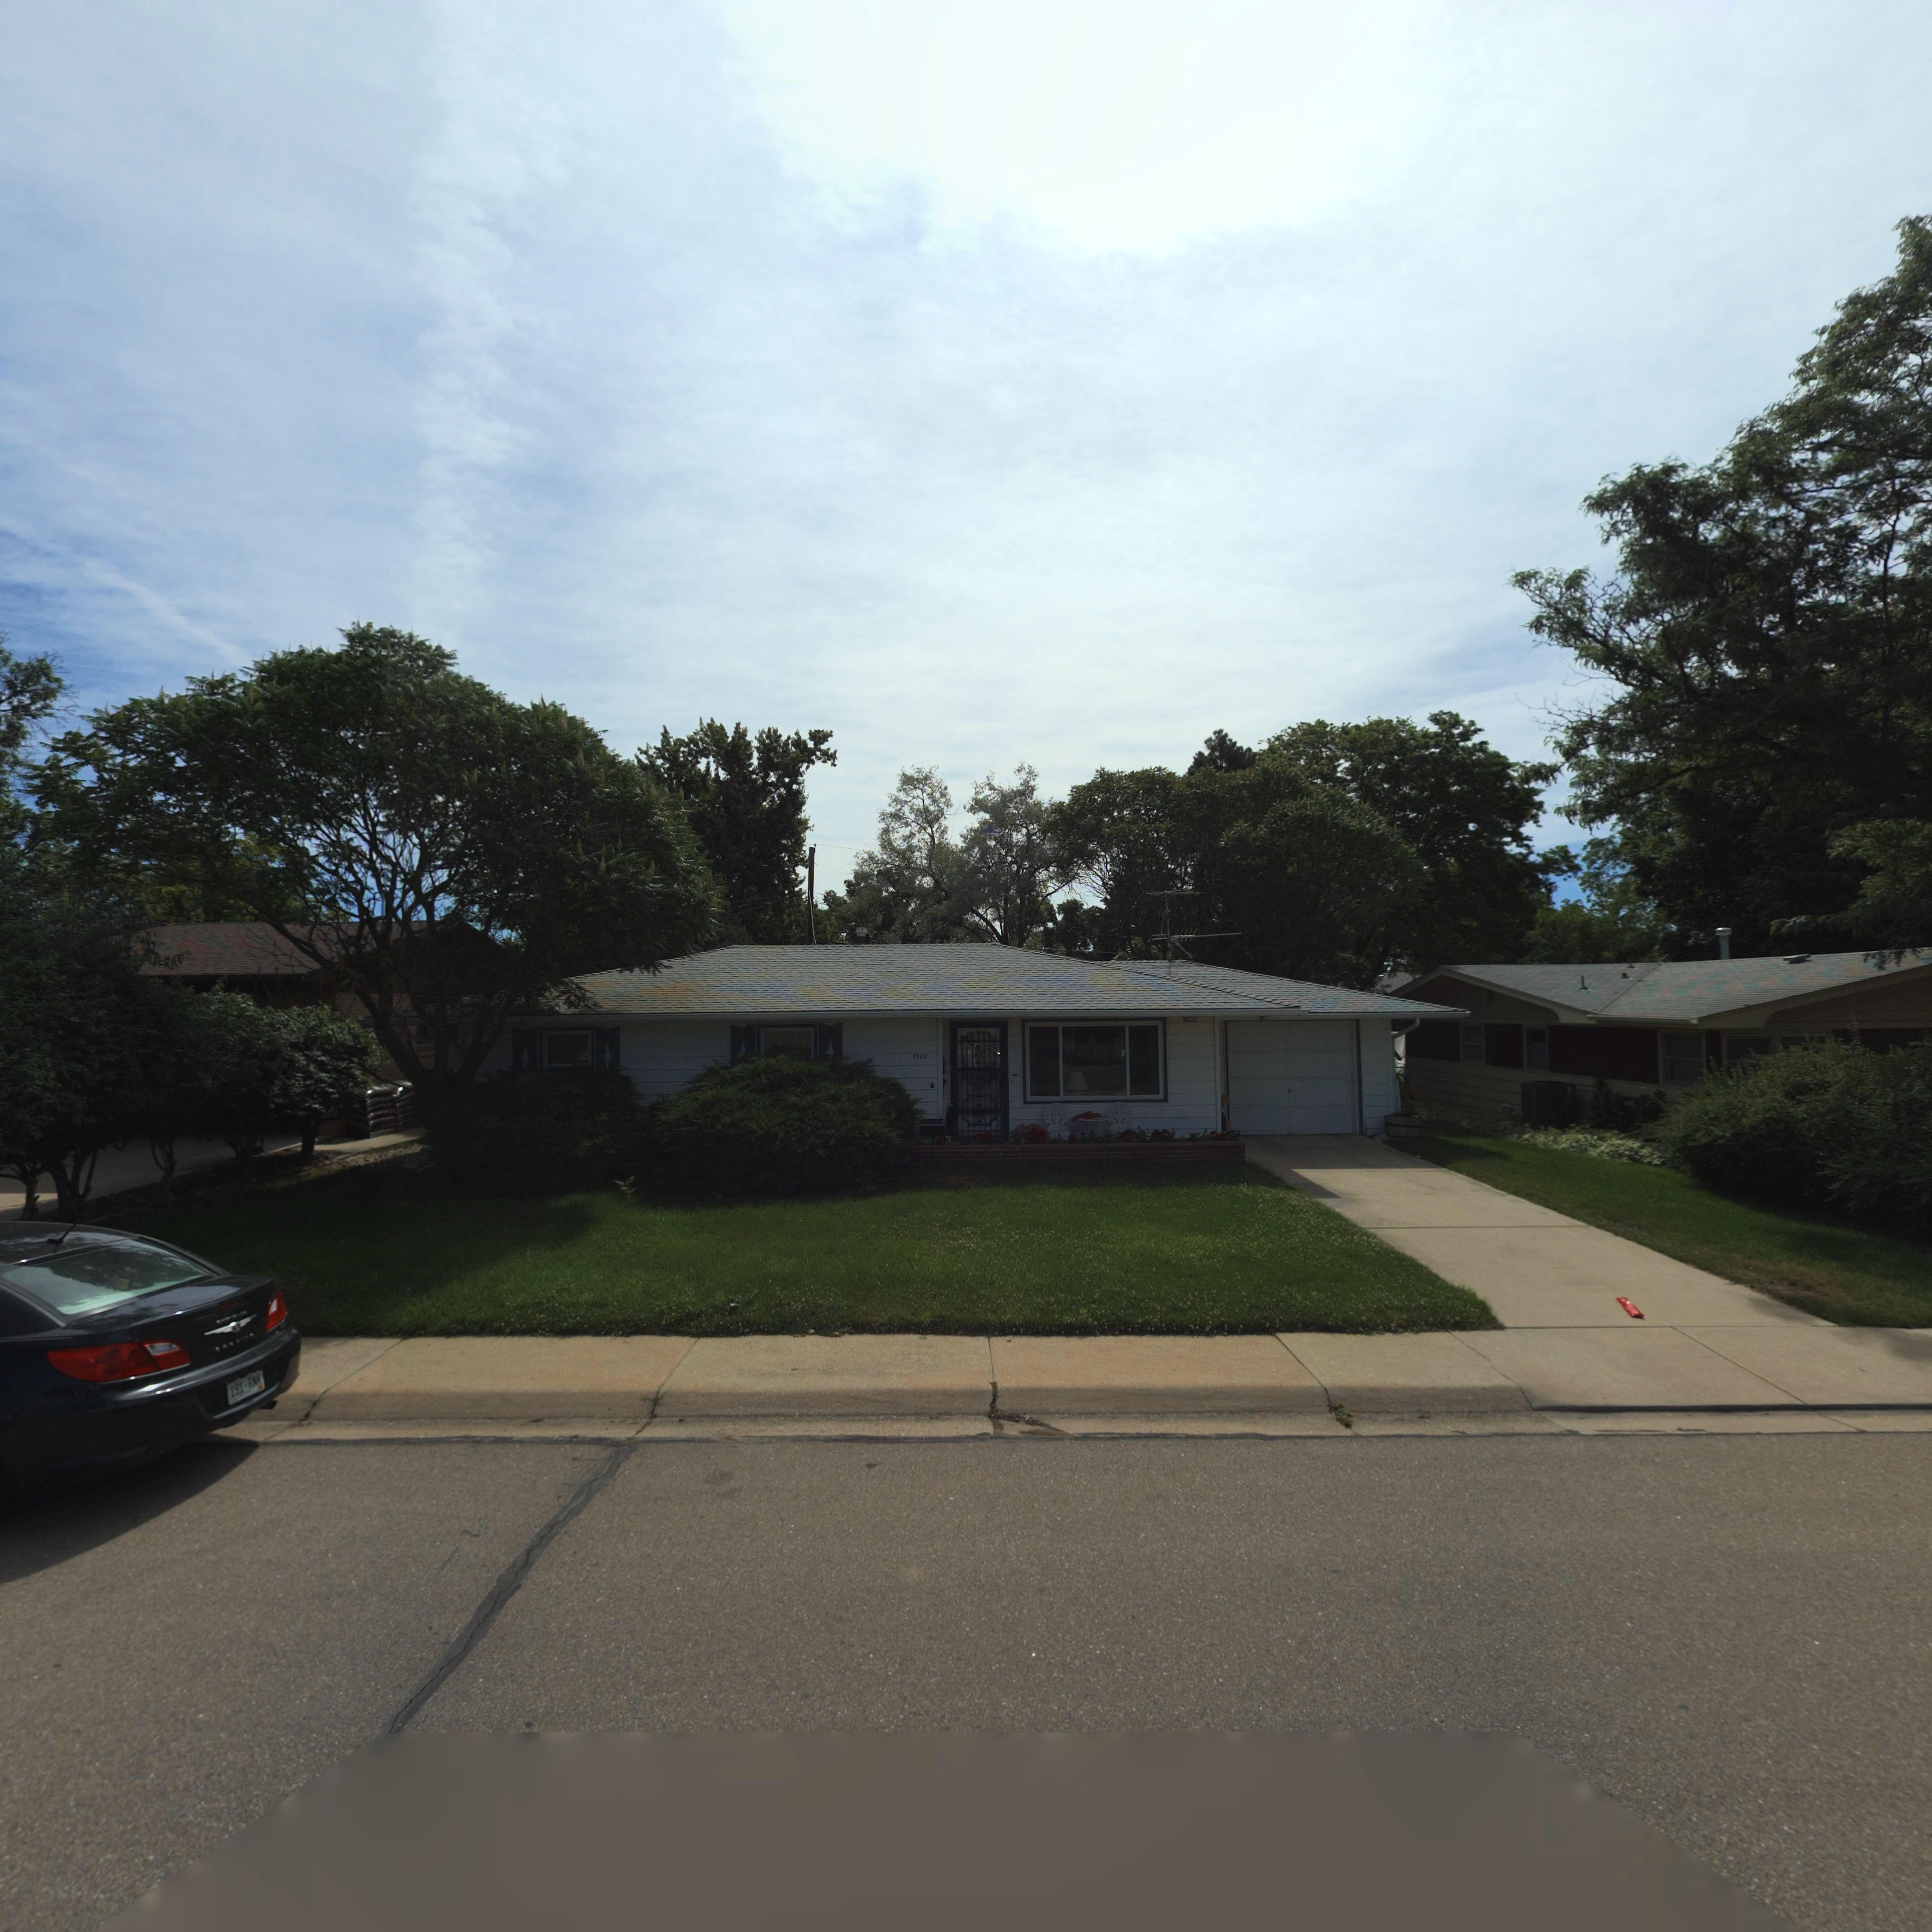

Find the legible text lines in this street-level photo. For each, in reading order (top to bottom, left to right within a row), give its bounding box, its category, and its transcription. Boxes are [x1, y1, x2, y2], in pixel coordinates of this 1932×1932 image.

[912, 1053, 927, 1059] StreetNumber: 1326